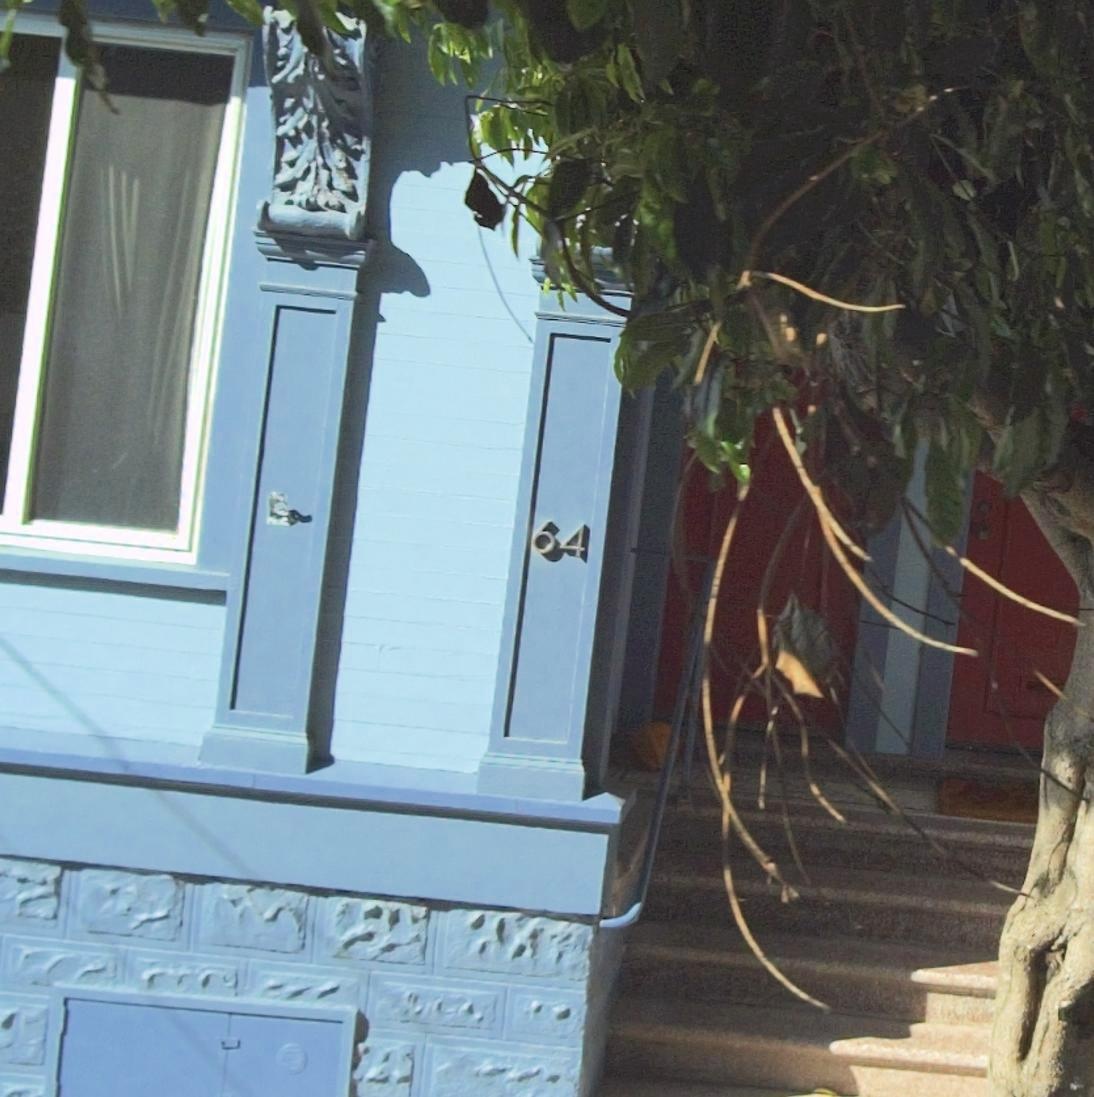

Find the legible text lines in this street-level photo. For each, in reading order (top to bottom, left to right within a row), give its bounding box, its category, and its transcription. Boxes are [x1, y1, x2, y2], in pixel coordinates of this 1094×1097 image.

[525, 518, 587, 560] StreetNumber: 64